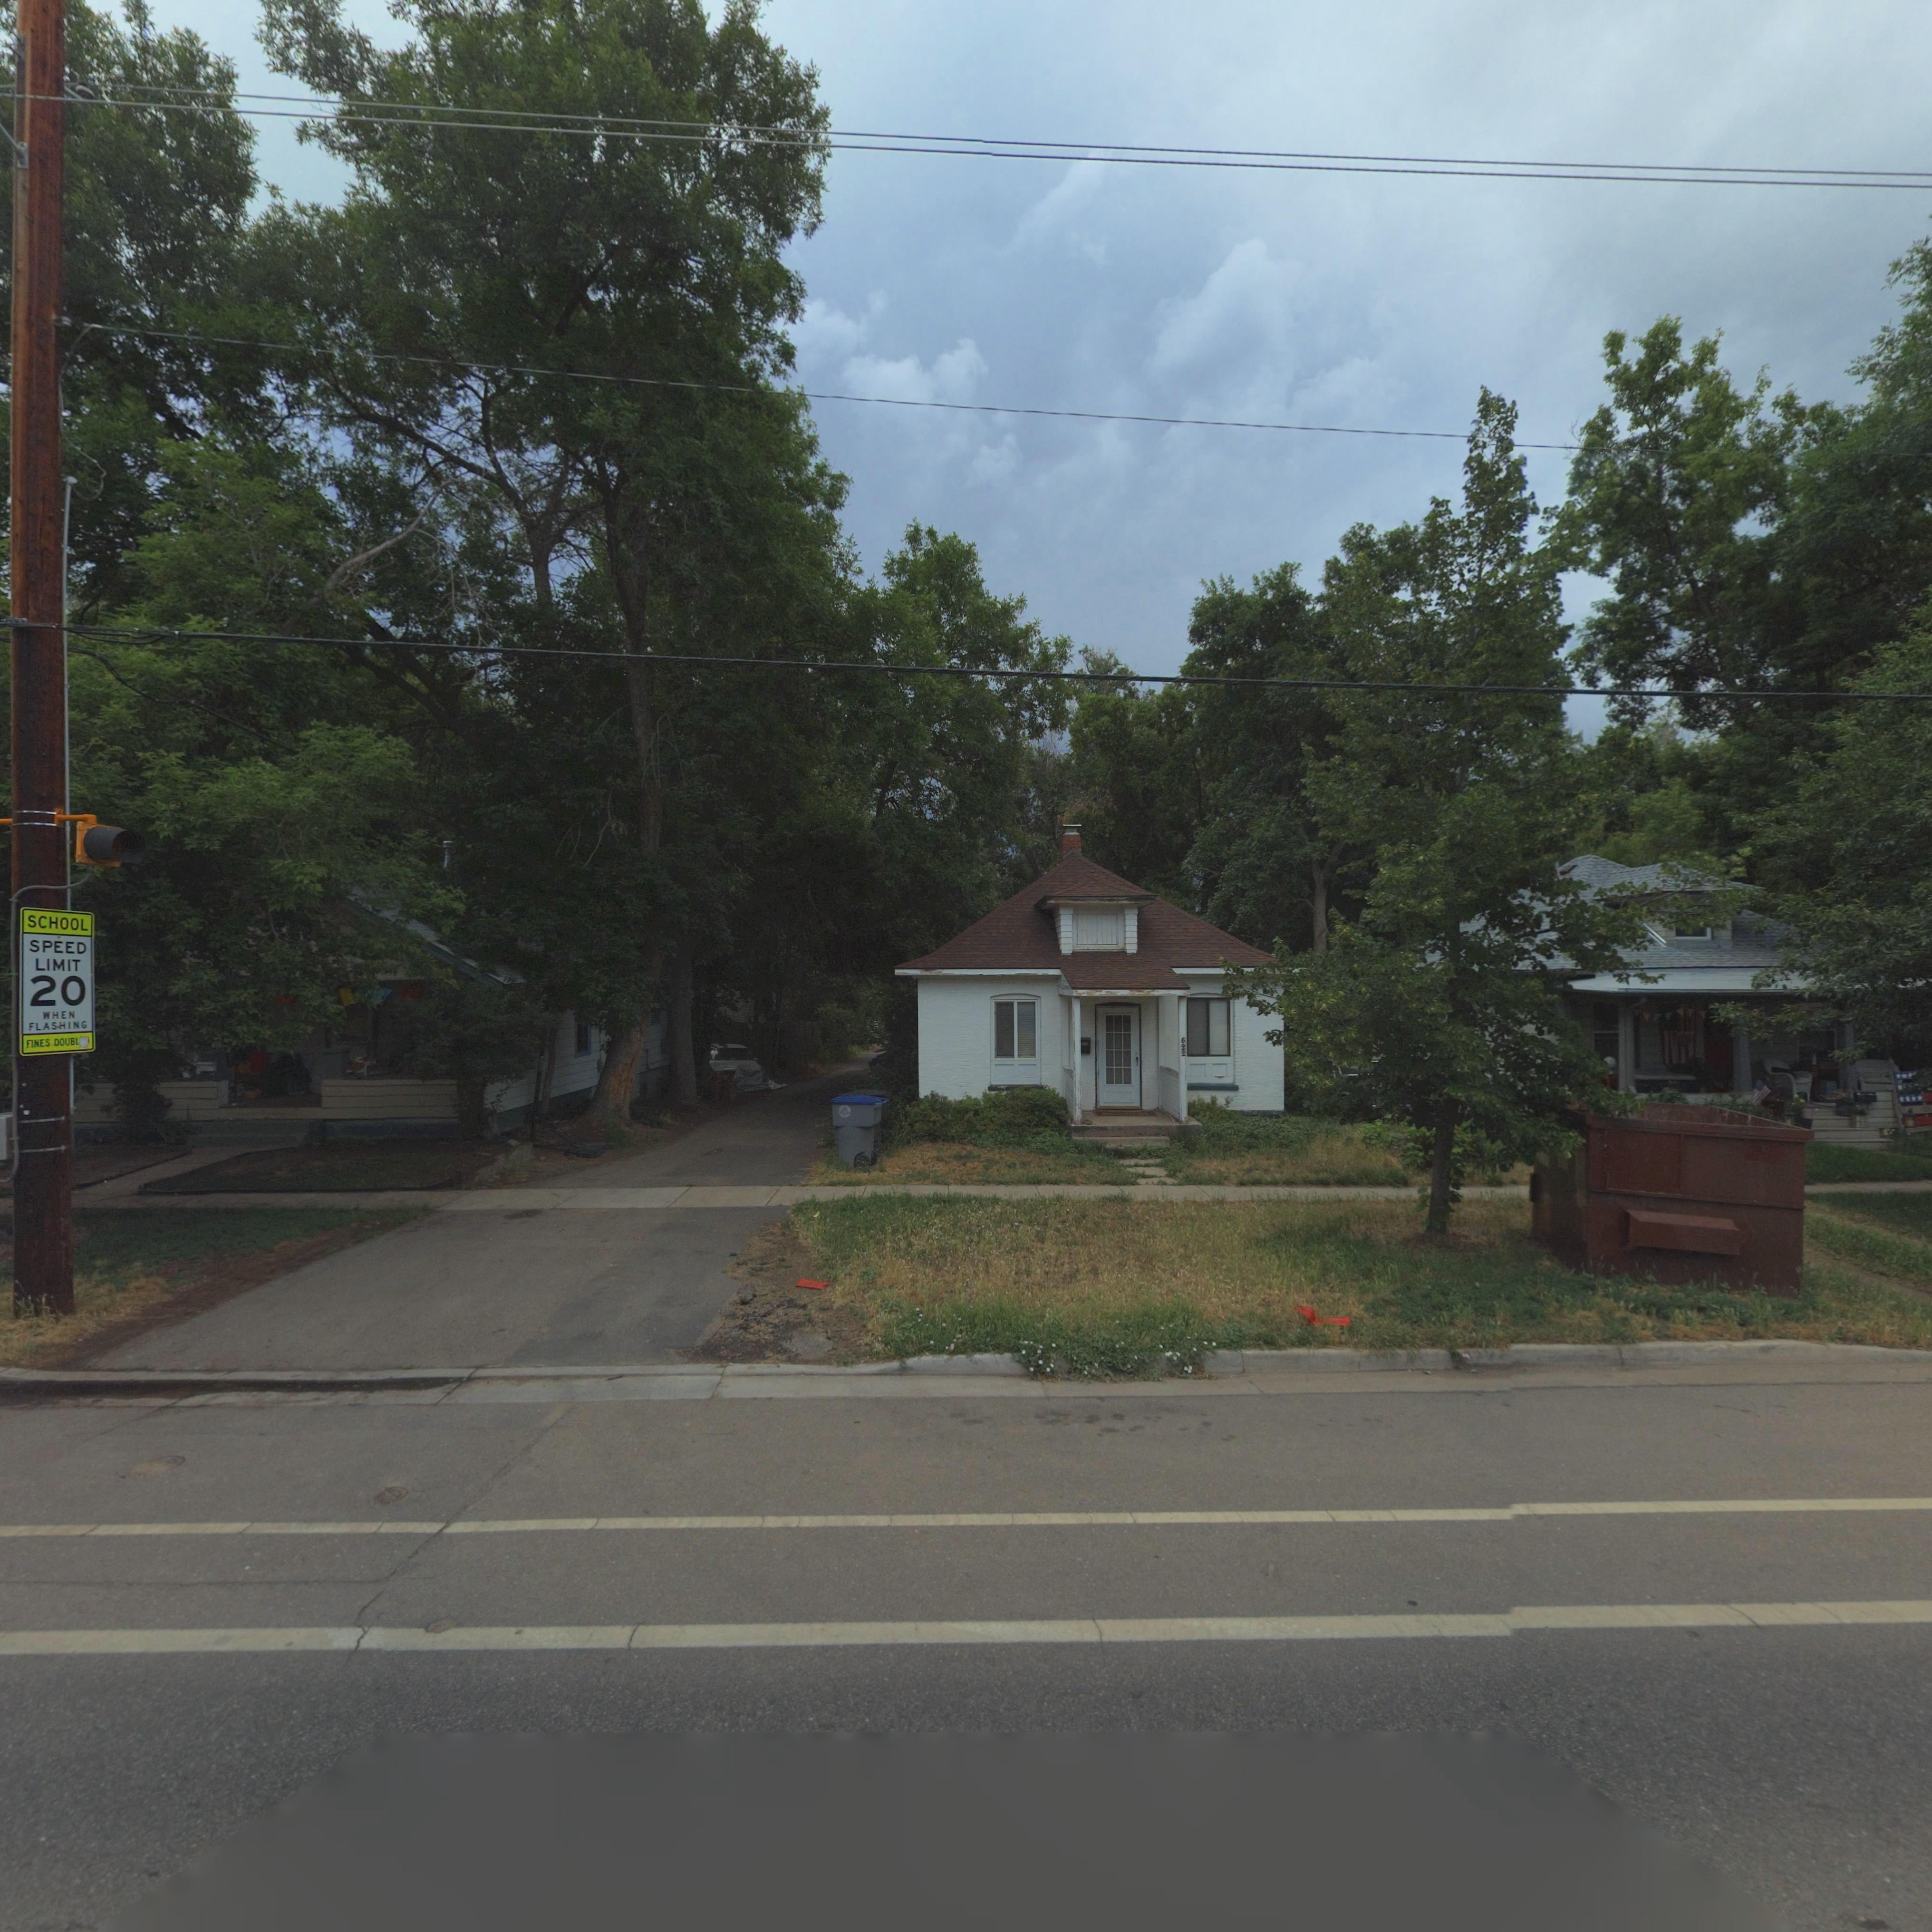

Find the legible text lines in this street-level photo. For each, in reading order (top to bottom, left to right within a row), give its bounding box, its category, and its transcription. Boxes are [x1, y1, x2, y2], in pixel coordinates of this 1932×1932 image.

[1180, 1037, 1186, 1056] StreetNumber: 622